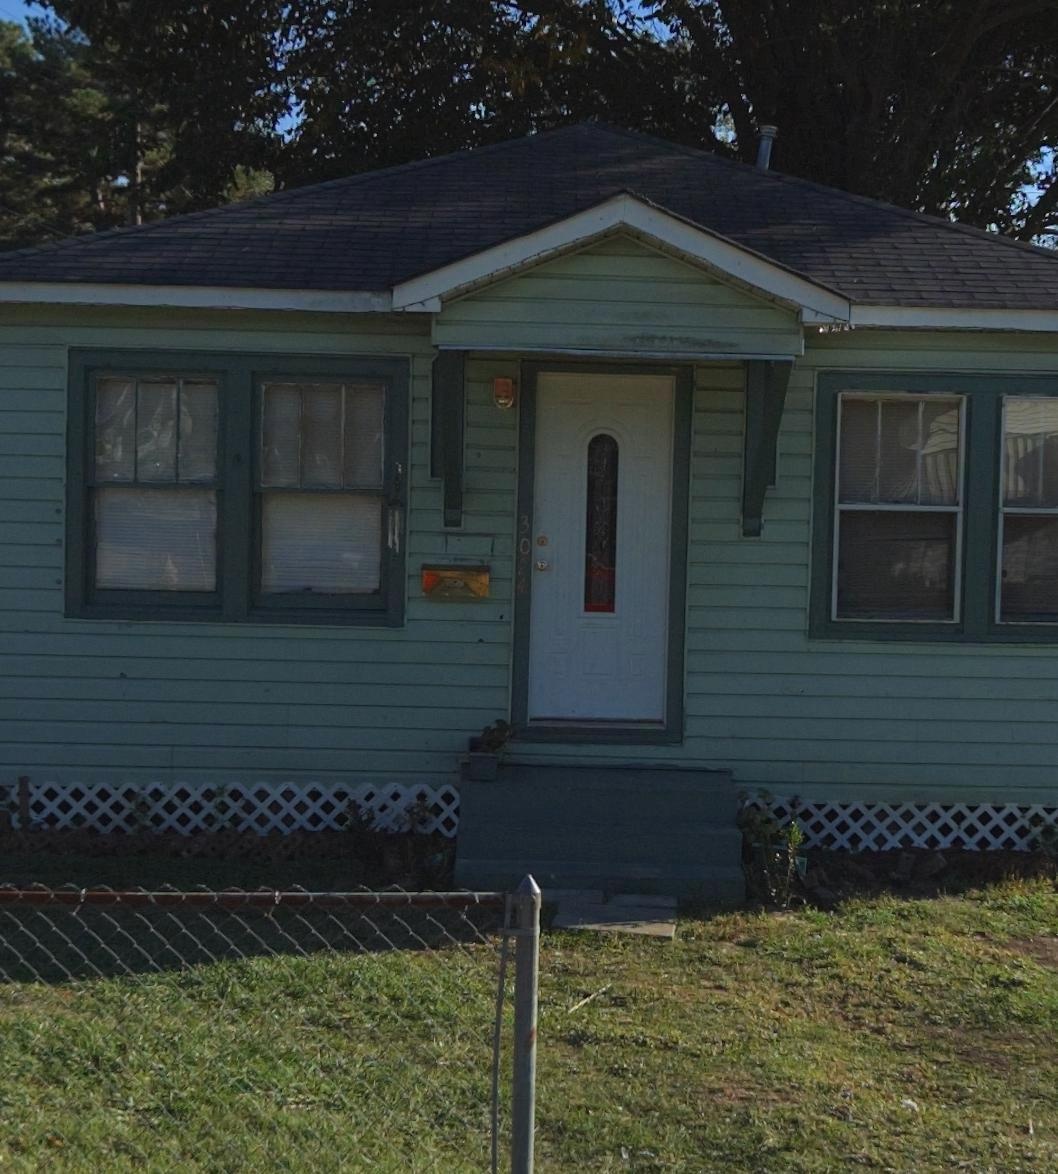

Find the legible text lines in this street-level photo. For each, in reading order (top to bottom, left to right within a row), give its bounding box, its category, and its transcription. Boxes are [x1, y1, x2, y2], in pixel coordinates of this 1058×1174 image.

[514, 512, 533, 598] StreetNumber: 3024